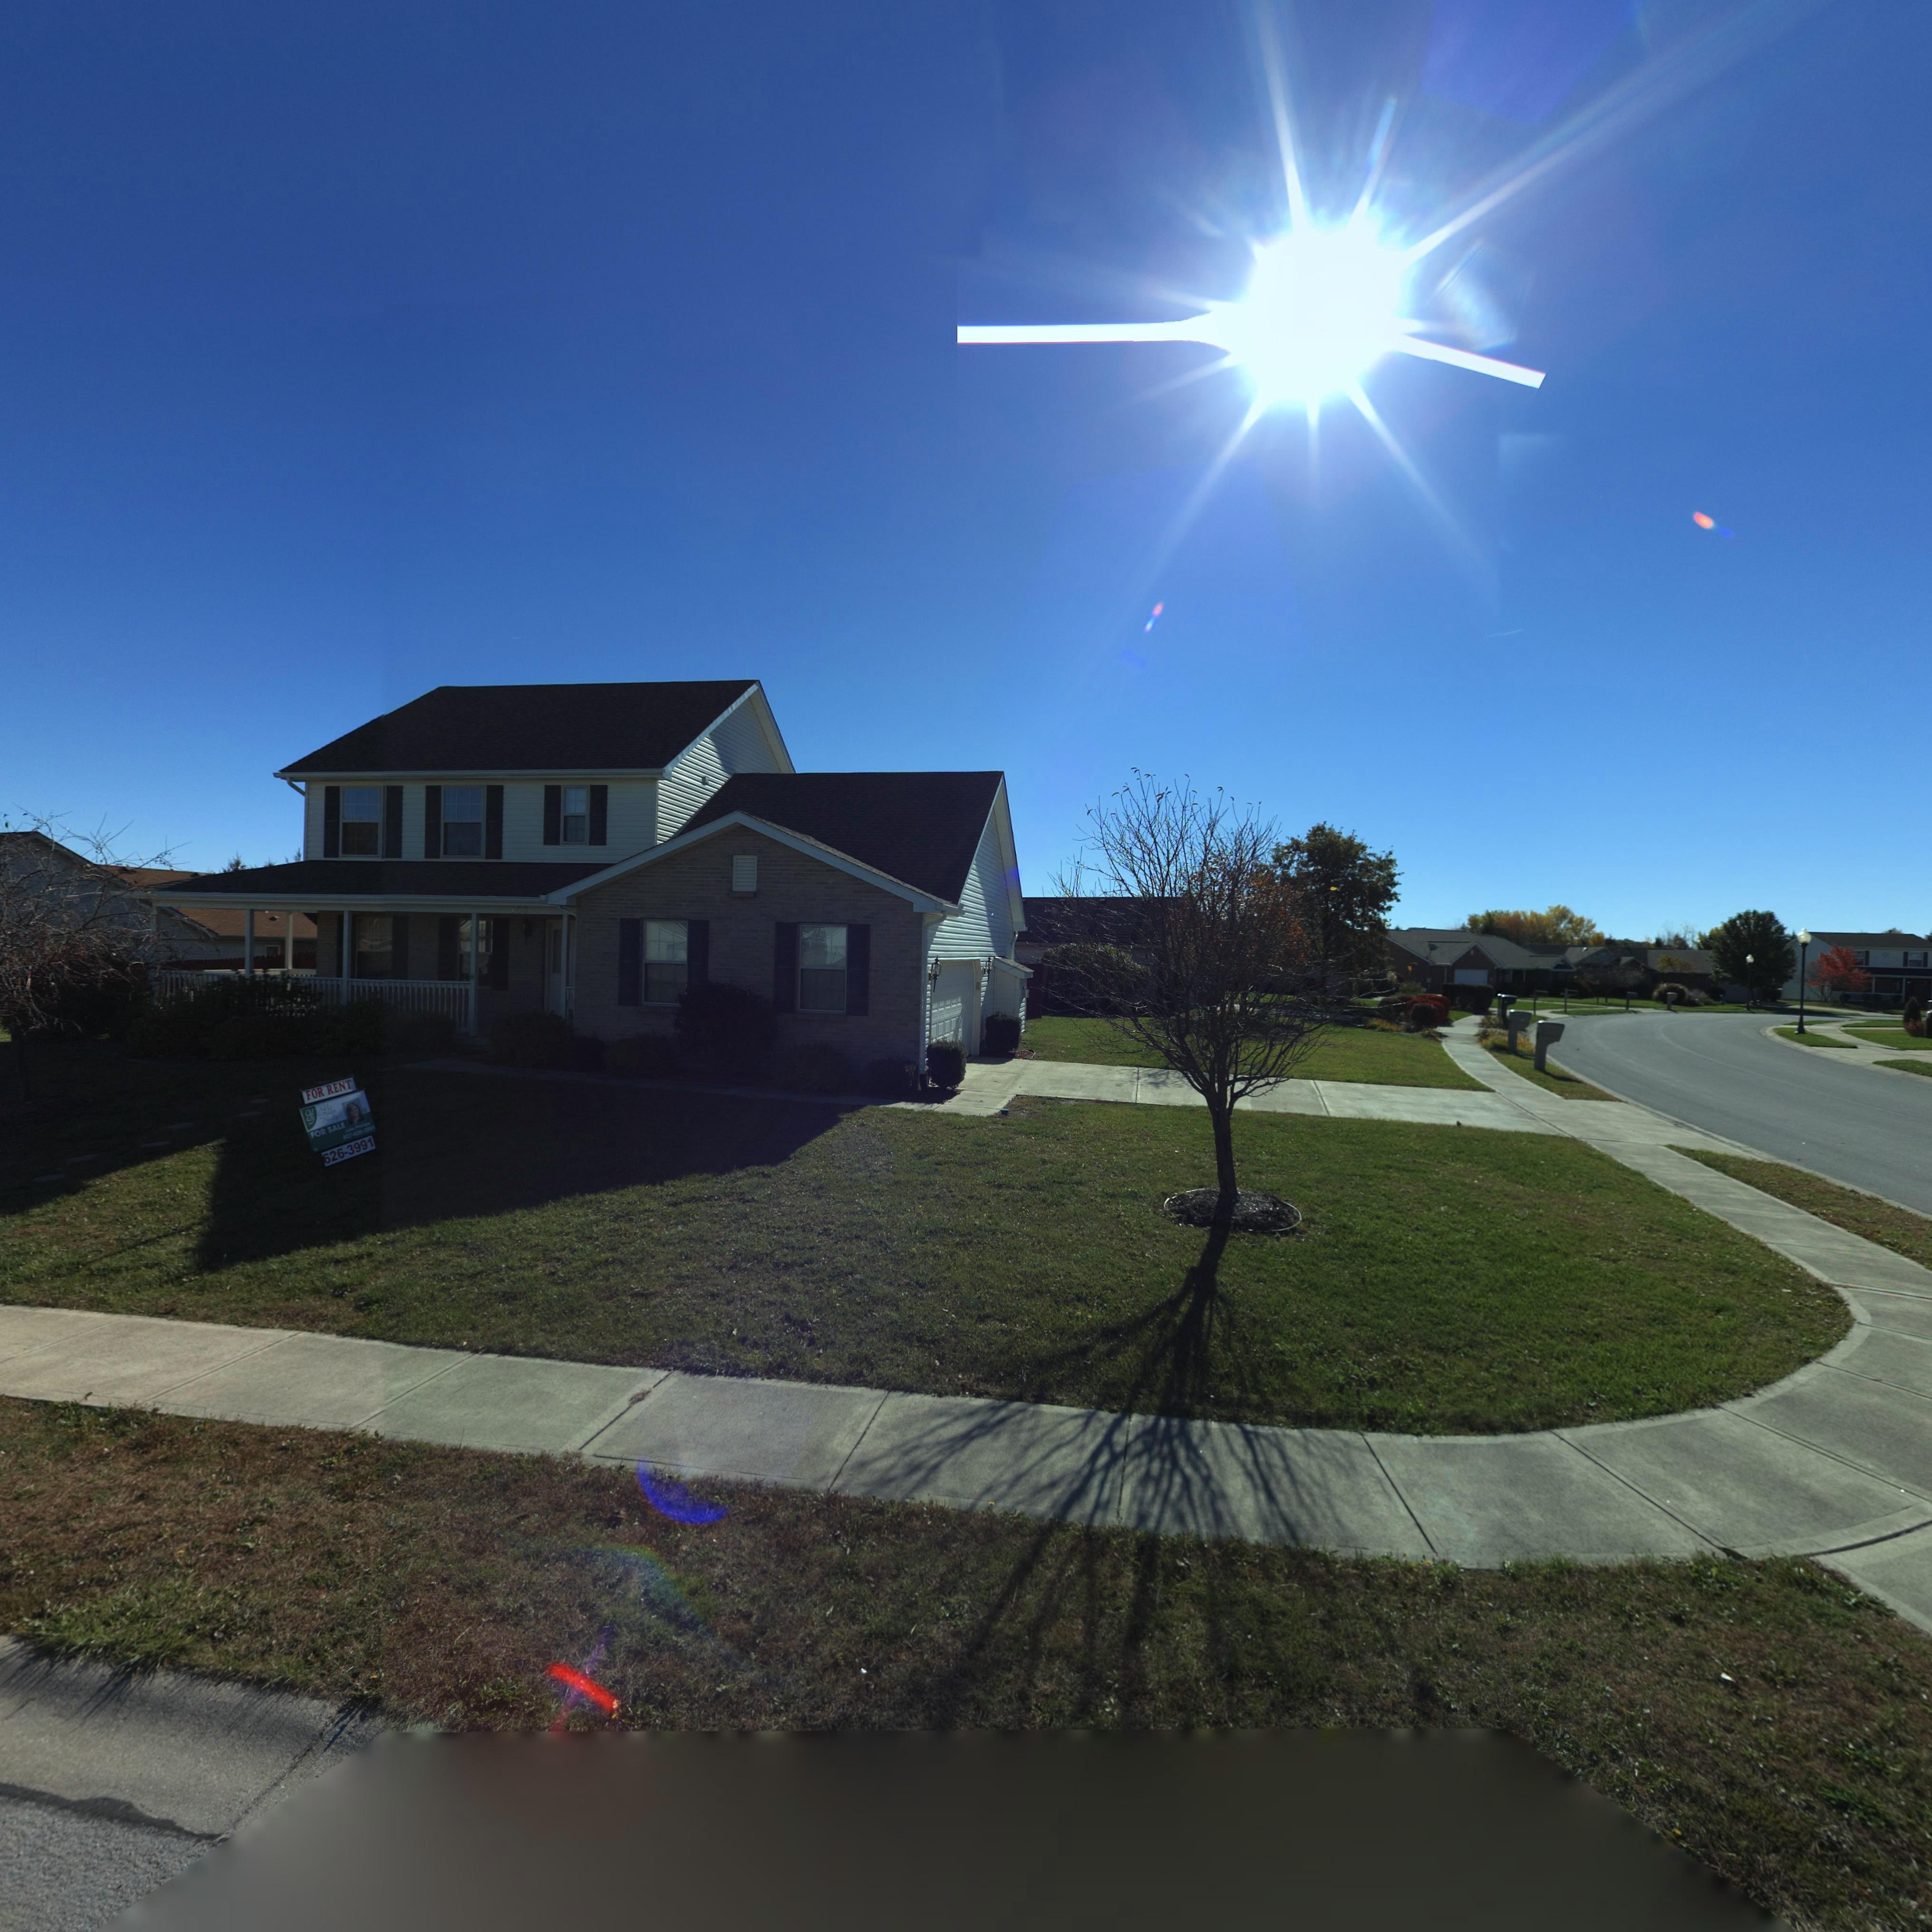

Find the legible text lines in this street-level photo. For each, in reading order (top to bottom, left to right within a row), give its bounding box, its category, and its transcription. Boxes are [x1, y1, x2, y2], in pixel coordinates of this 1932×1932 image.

[511, 905, 529, 914] StreetNumber: 153